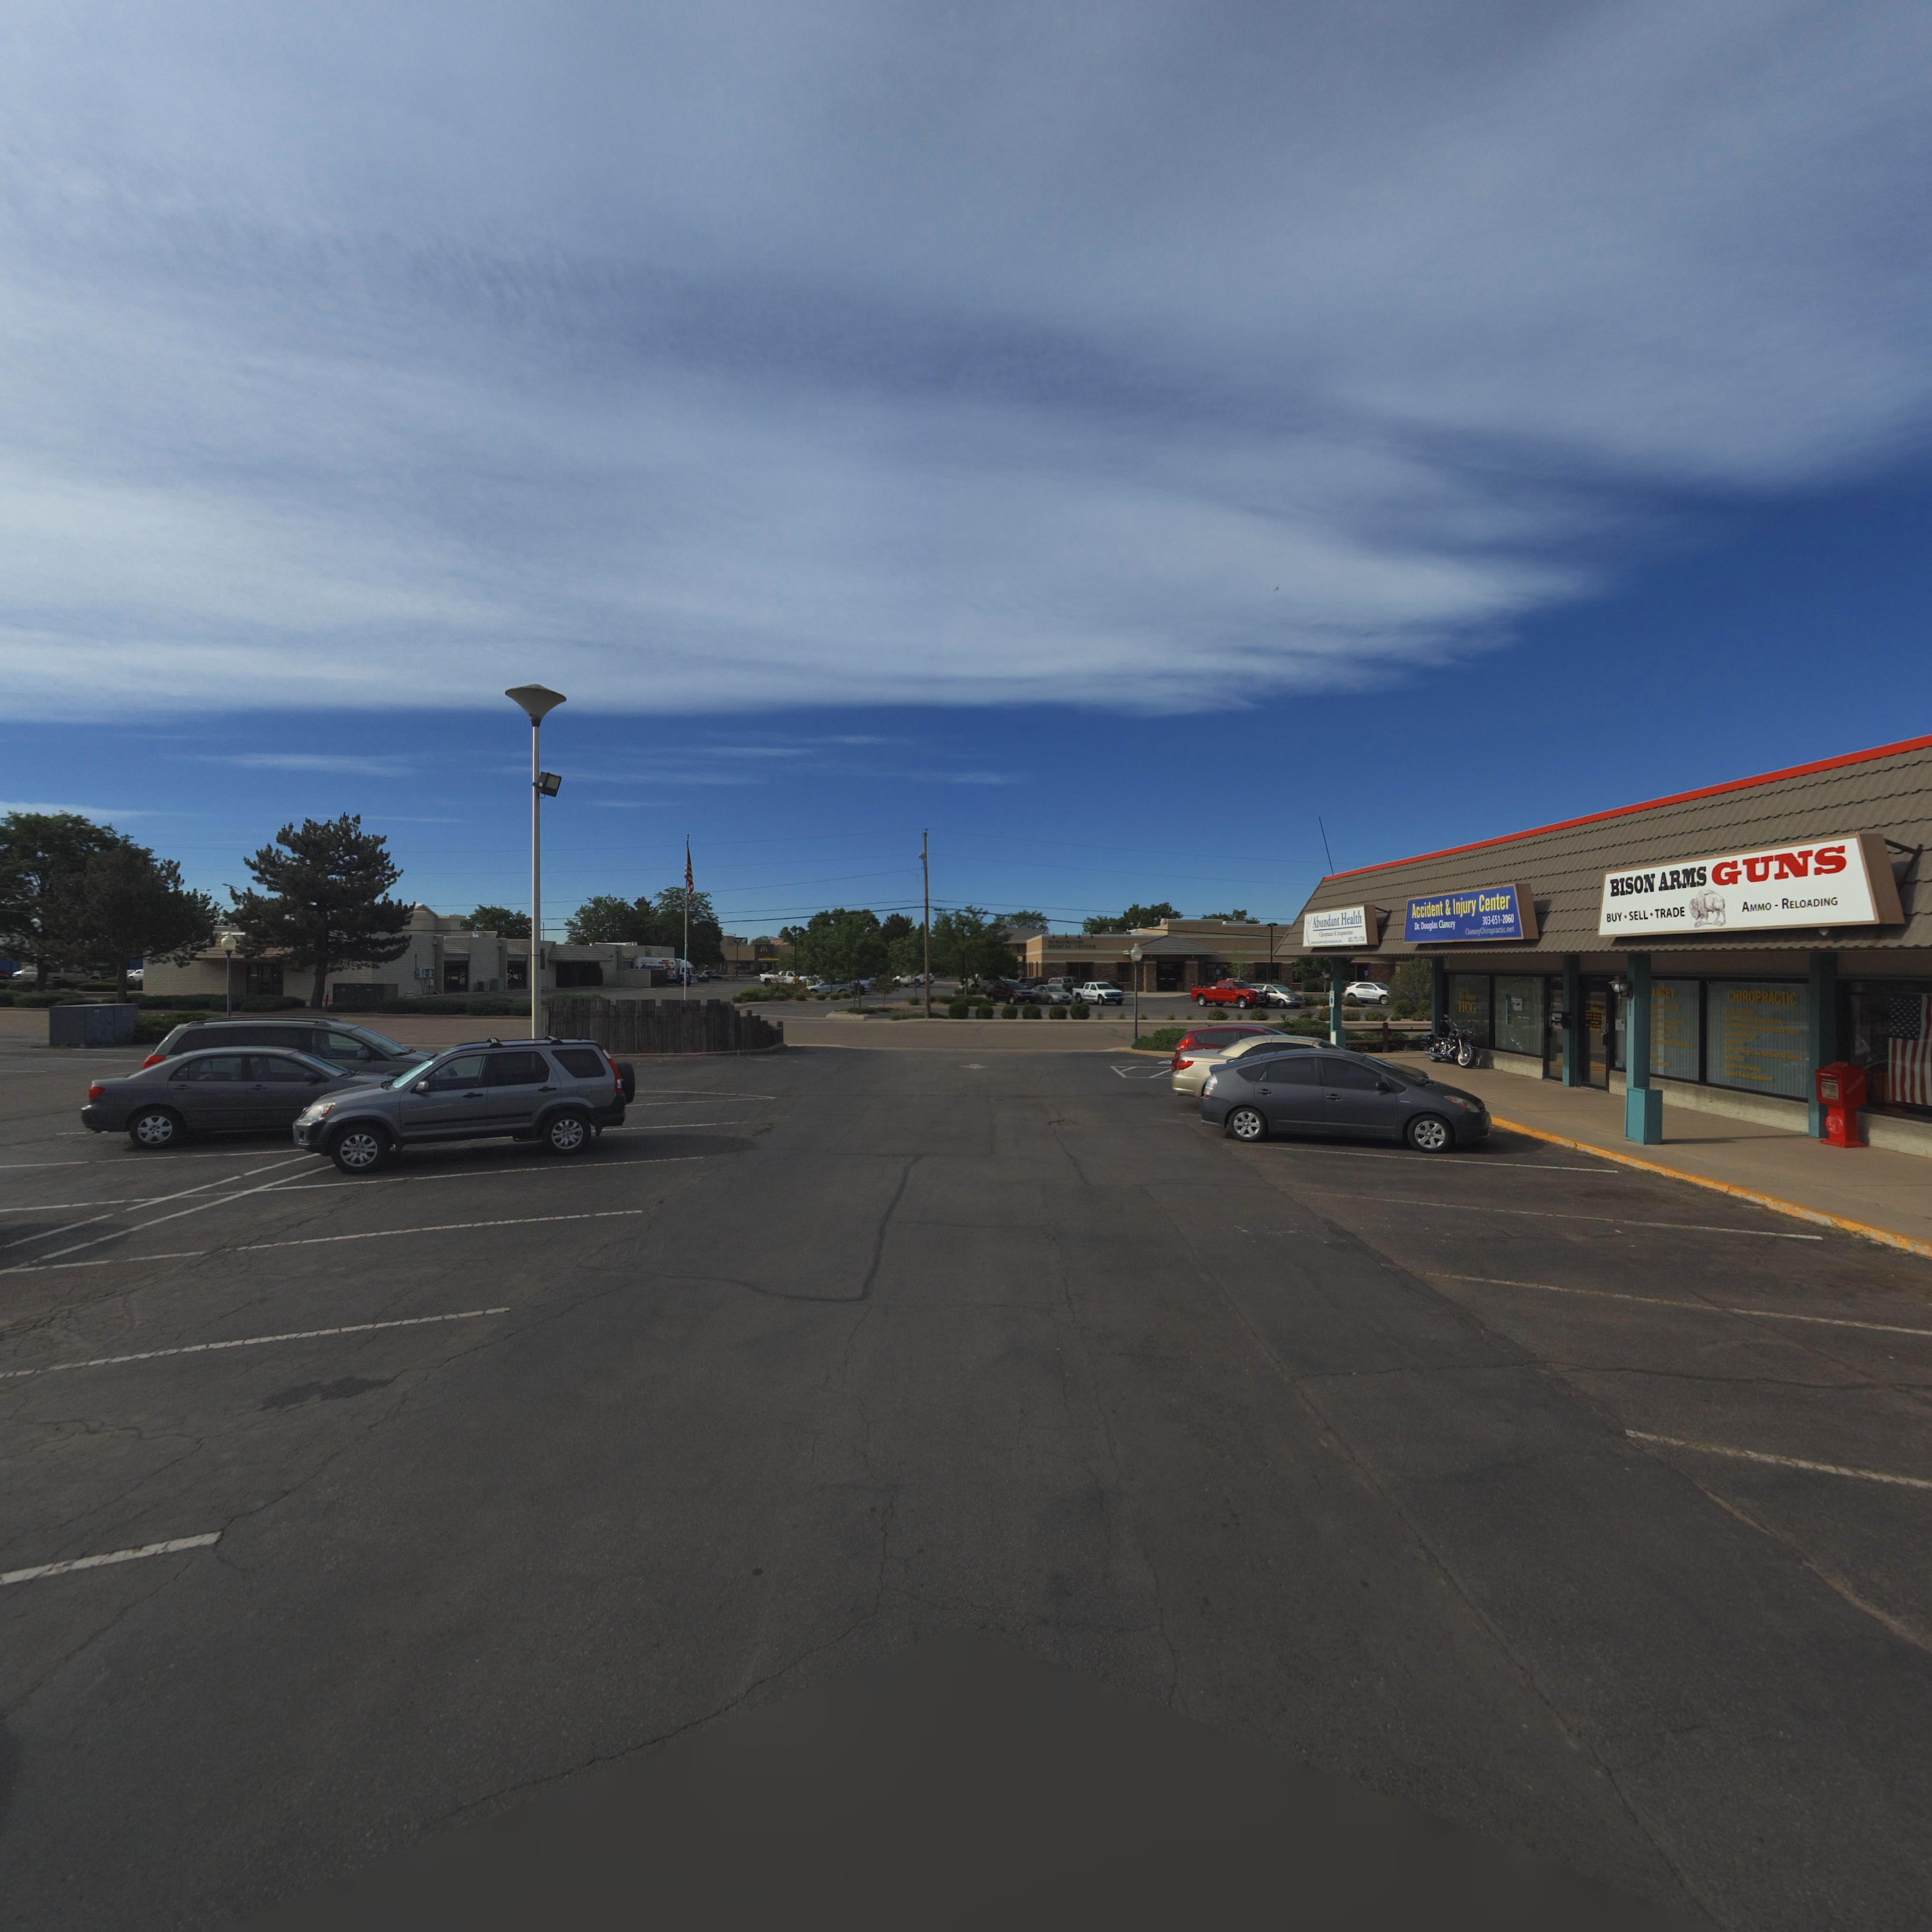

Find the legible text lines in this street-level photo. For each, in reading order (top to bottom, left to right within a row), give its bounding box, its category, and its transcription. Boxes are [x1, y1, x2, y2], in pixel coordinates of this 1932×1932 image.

[1609, 843, 1849, 898] BusinessName: BISON ARMS GUNS
[1411, 893, 1511, 918] BusinessName: Accident & Injury Center
[1312, 909, 1362, 928] BusinessName: Abundant Health
[1047, 939, 1083, 944] BusinessName: *URLINGTON
[1048, 944, 1095, 948] BusinessName: MEDICAL CENTER